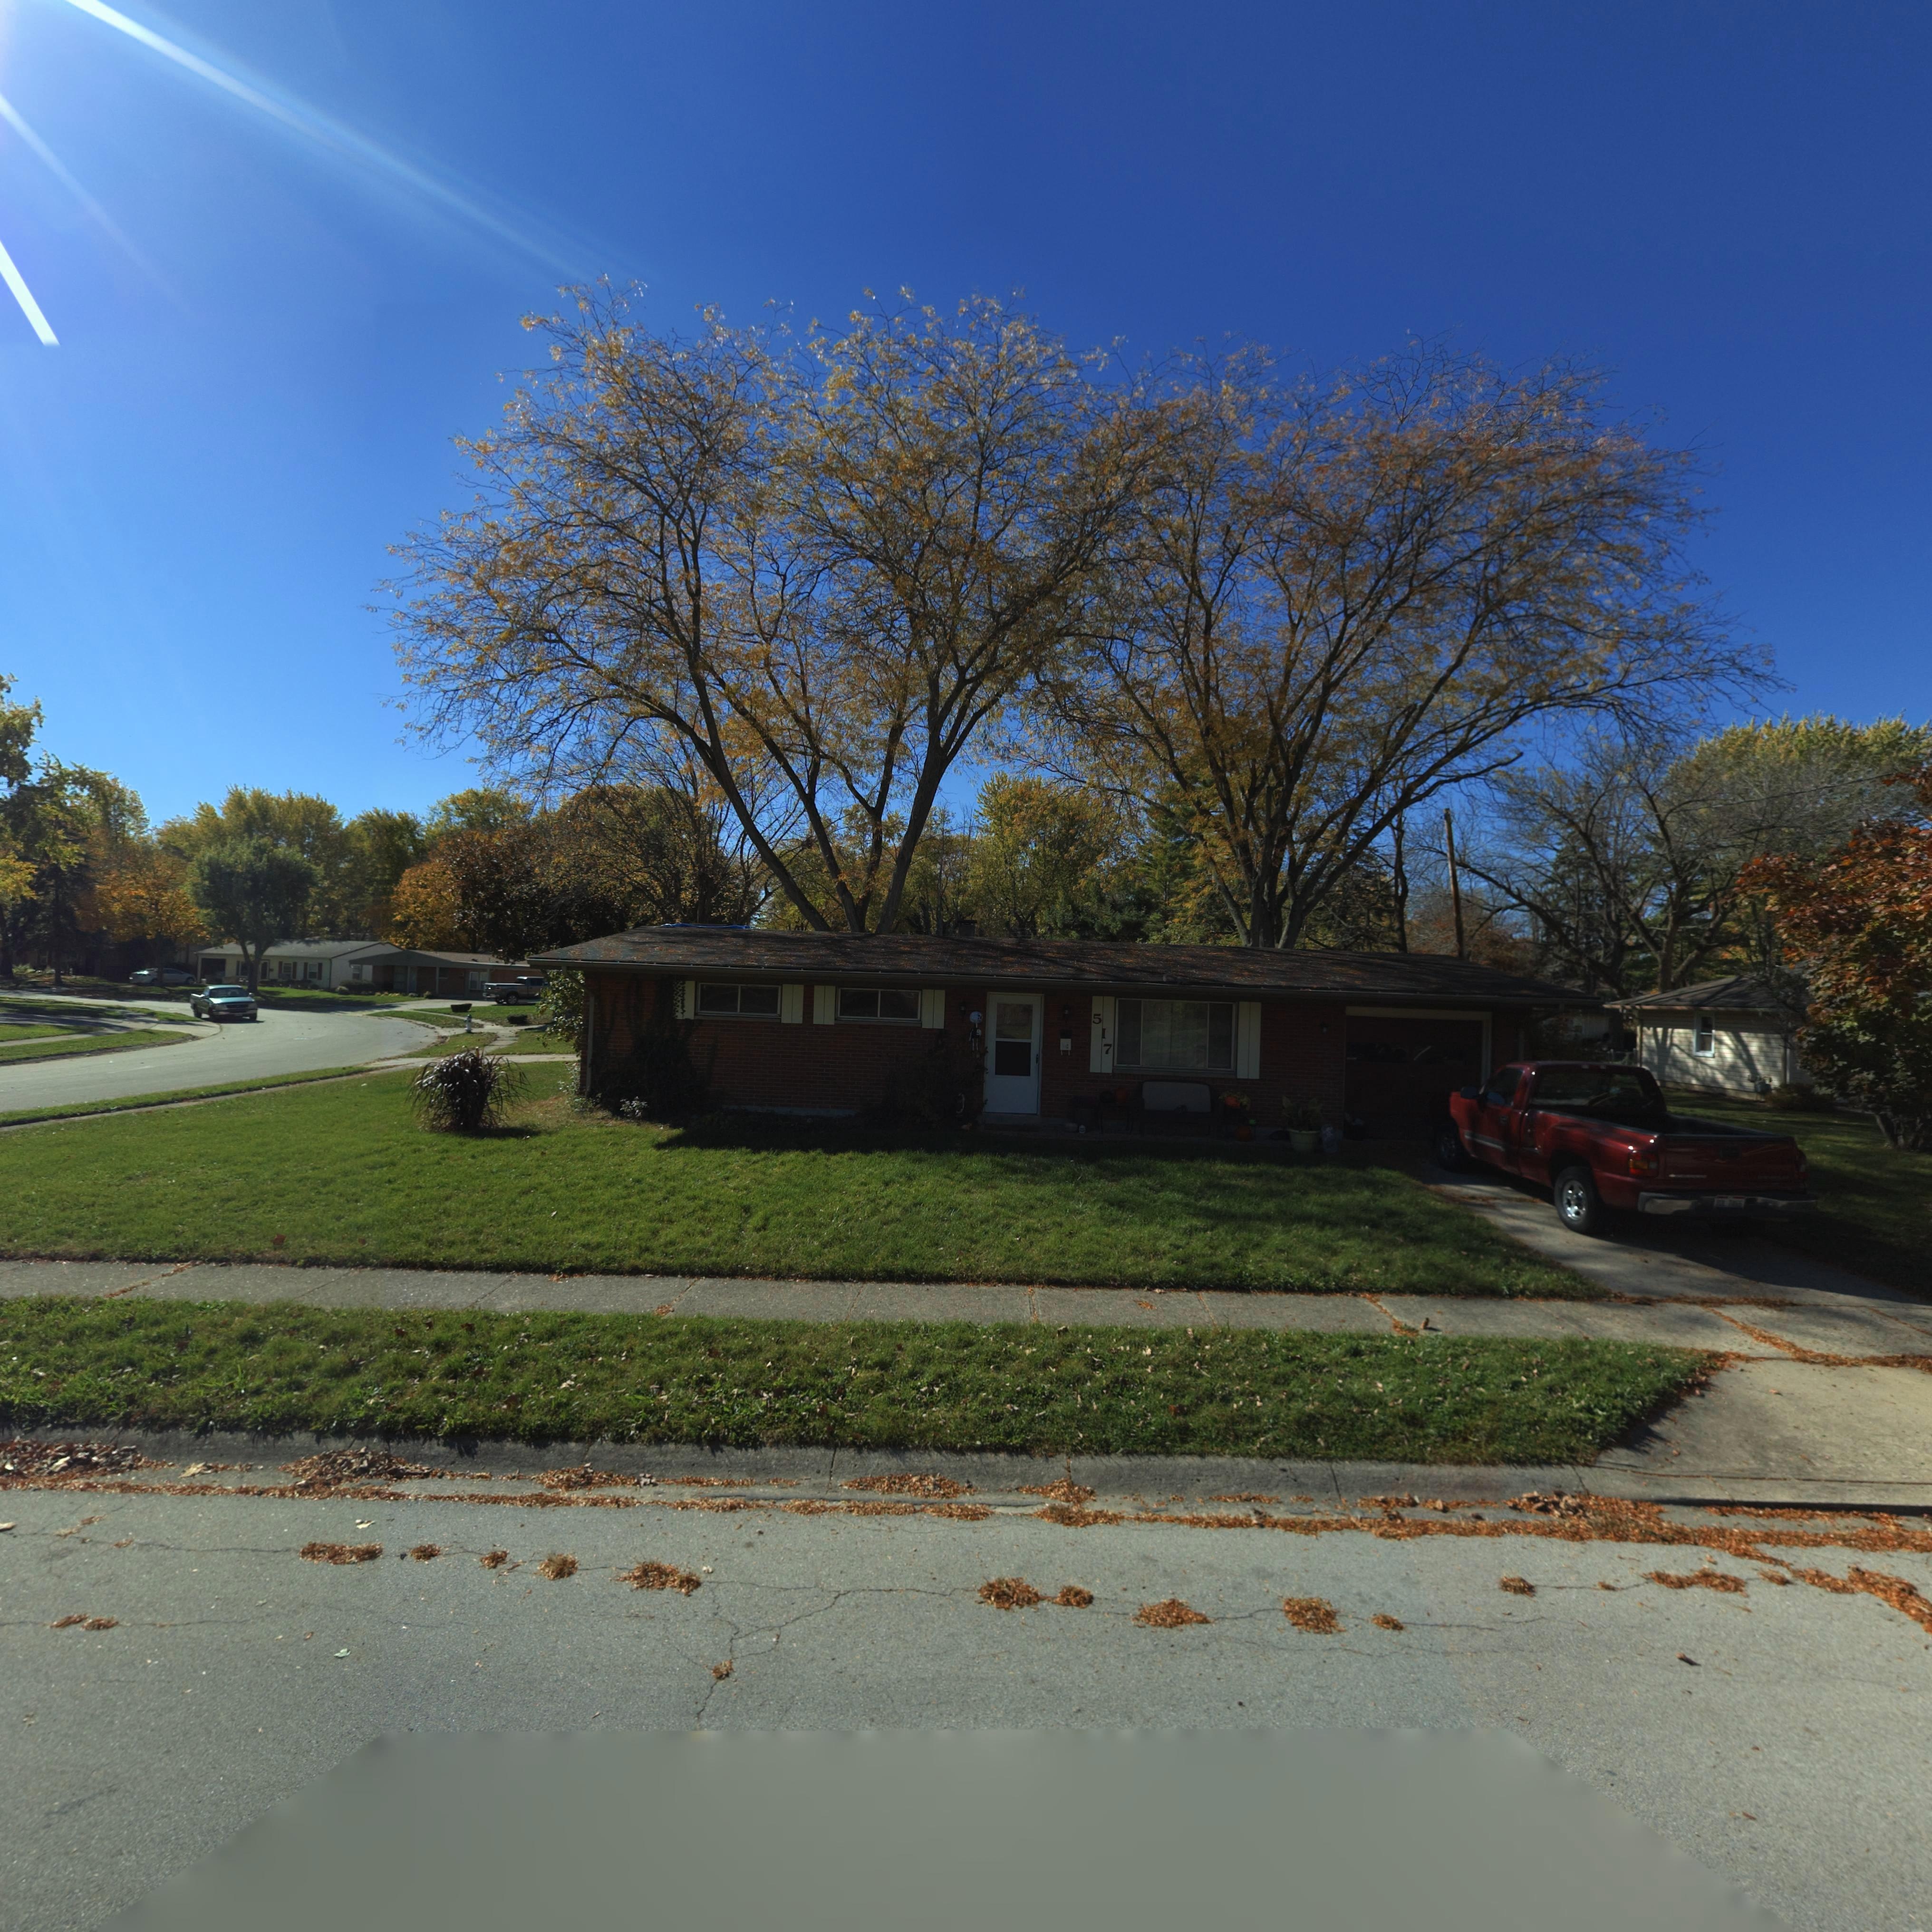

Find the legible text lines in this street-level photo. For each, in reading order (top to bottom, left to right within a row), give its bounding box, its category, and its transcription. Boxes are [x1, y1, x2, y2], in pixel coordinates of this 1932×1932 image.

[1091, 1012, 1114, 1056] StreetNumber: 517